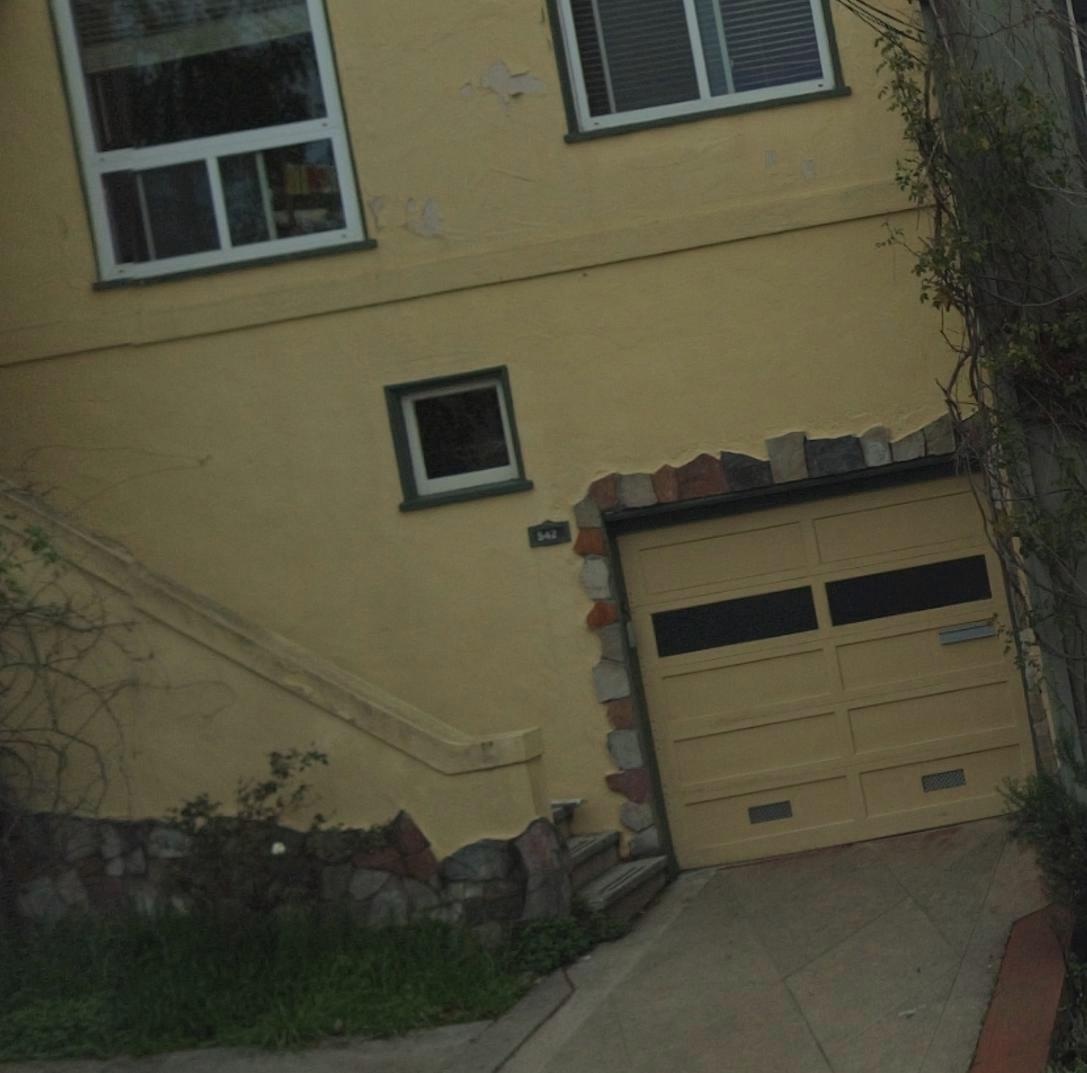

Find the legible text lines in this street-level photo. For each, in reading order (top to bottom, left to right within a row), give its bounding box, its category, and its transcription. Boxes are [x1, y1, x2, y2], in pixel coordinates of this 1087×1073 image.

[535, 528, 560, 543] StreetNumber: 542